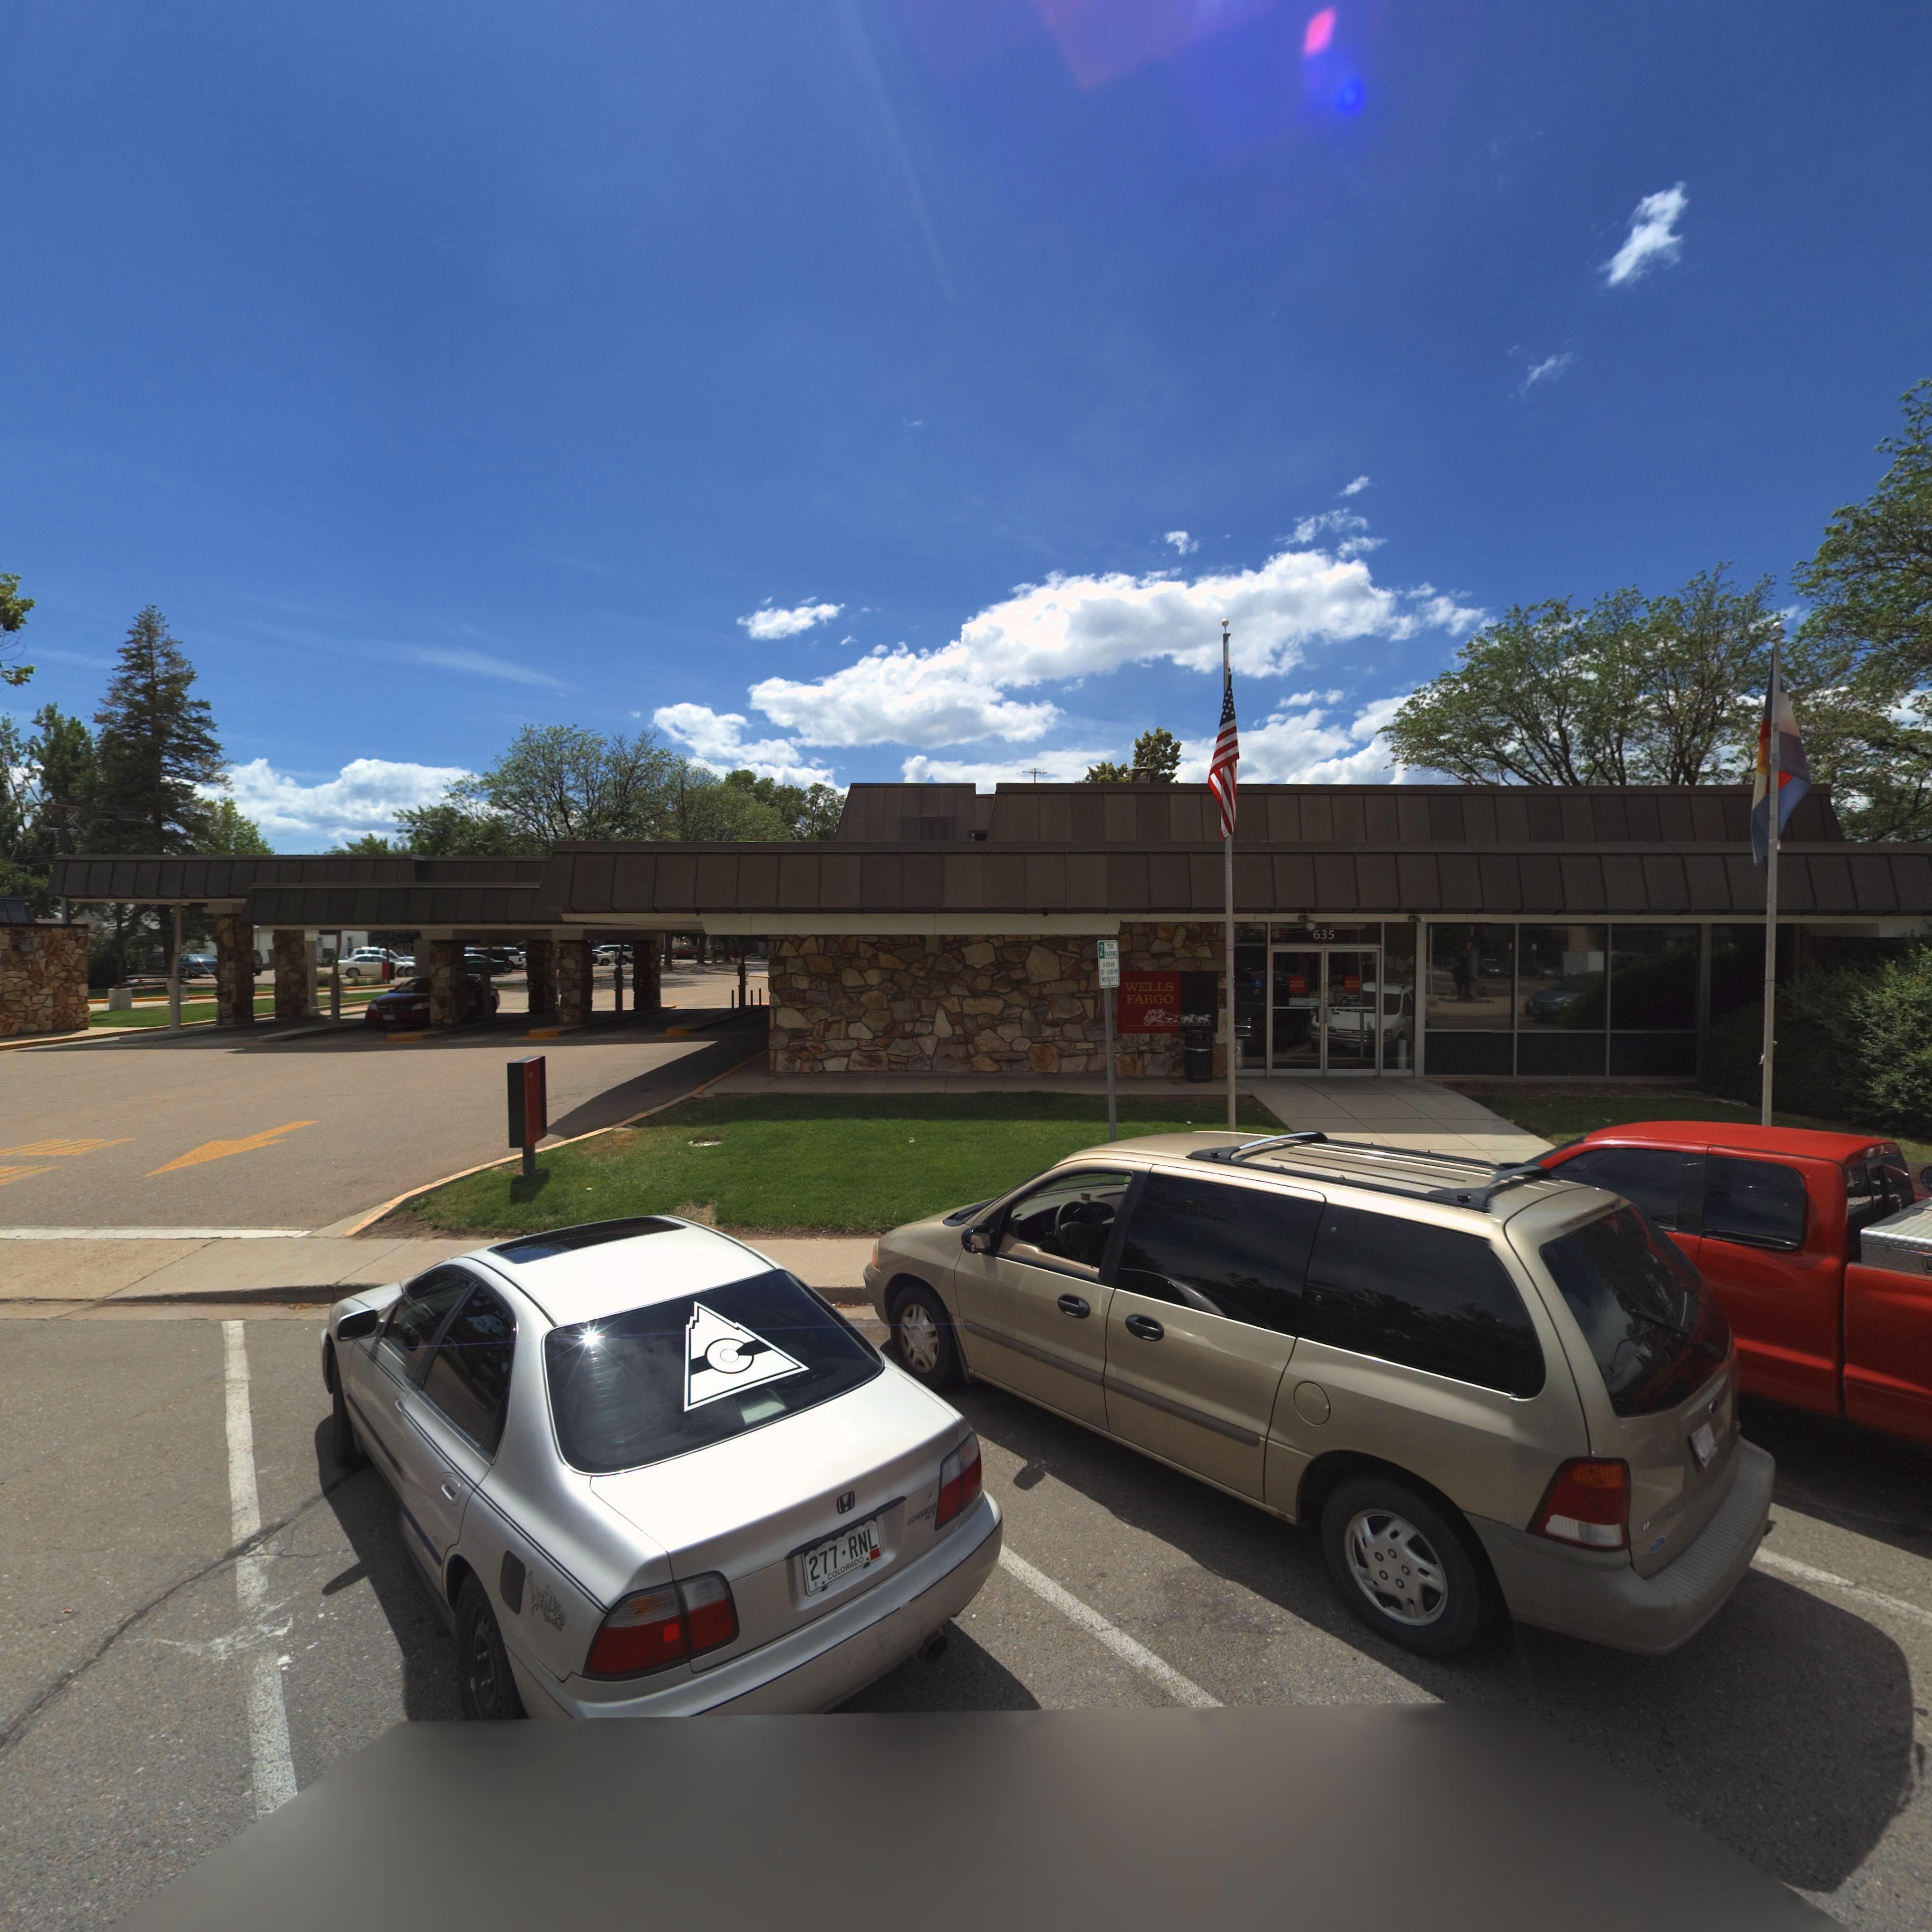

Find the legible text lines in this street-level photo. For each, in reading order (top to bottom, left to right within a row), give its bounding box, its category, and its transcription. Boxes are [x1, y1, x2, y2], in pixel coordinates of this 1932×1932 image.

[1312, 929, 1334, 940] StreetNumber: 635
[1123, 981, 1174, 992] BusinessName:  WELLS
[1289, 980, 1304, 984] BusinessName: WELLS
[1289, 983, 1304, 988] BusinessName: FARGO
[1125, 994, 1174, 1004] BusinessName: FARGO